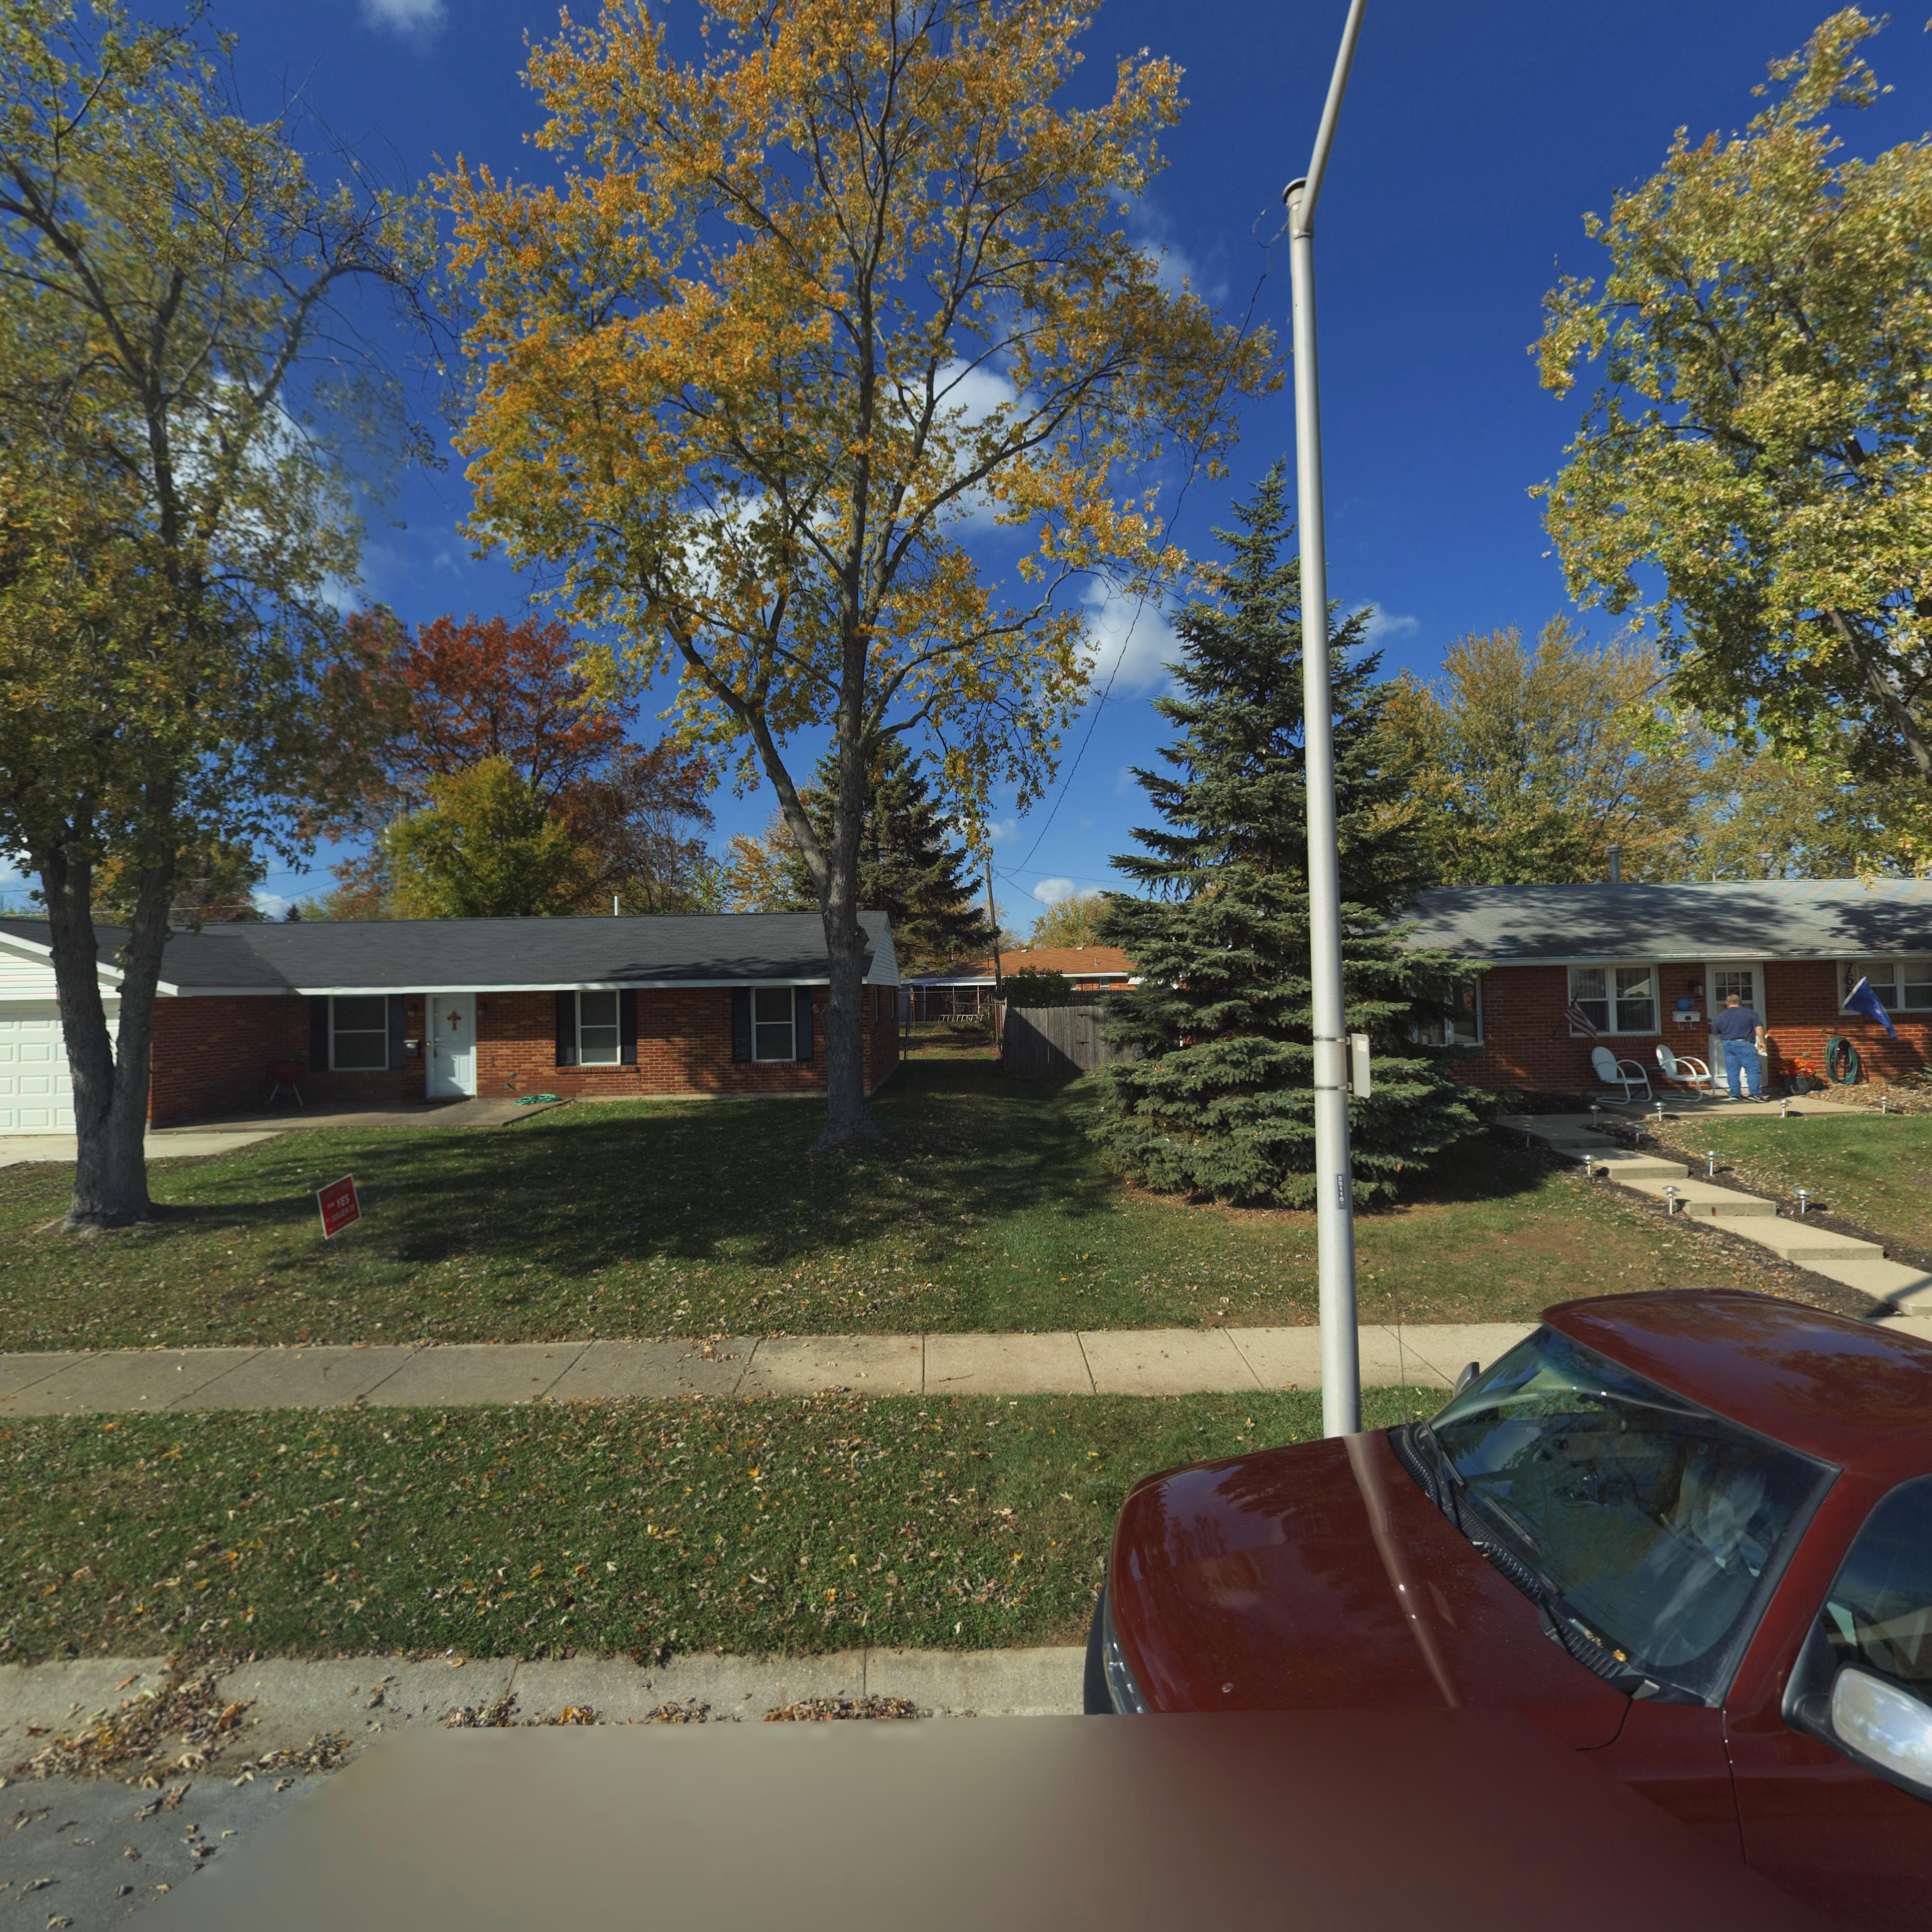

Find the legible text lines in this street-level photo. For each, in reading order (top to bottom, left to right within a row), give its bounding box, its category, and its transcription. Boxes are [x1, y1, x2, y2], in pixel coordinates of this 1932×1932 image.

[1844, 961, 1856, 987] StreetNumber: 76